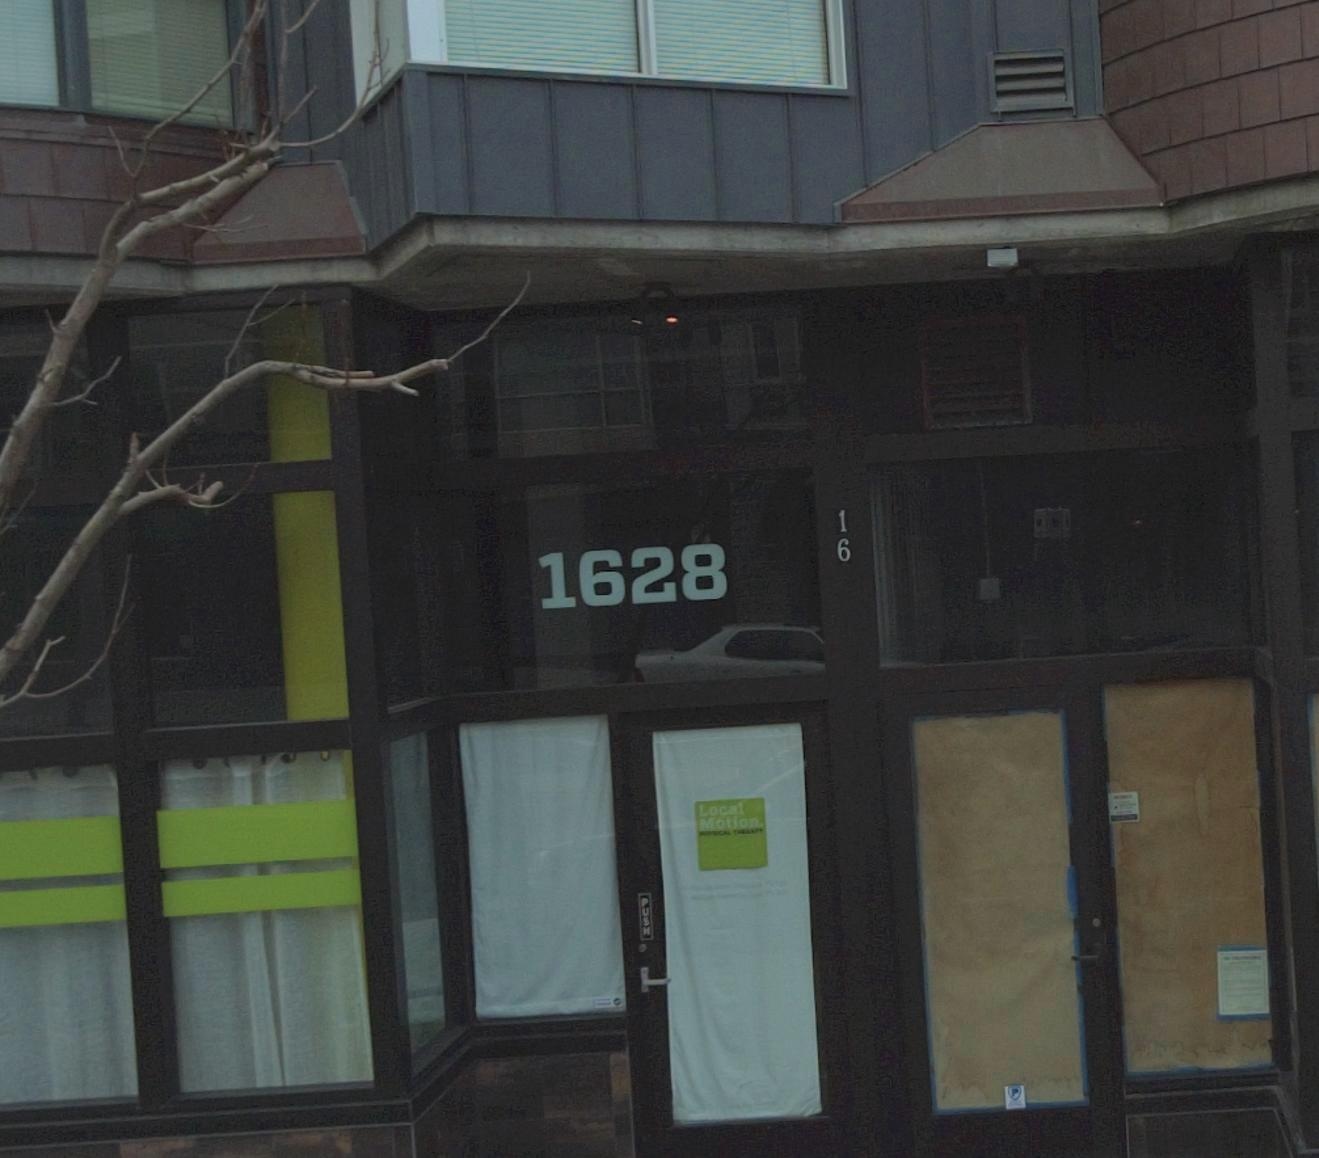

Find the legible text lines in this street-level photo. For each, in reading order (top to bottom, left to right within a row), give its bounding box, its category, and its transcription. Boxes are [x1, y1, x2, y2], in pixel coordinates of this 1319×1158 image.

[836, 508, 853, 564] None: 16
[535, 540, 729, 611] StreetNumber: 1628
[698, 801, 745, 818] None: Local
[698, 816, 760, 831] None: Motion
[640, 896, 652, 936] None: PUSH